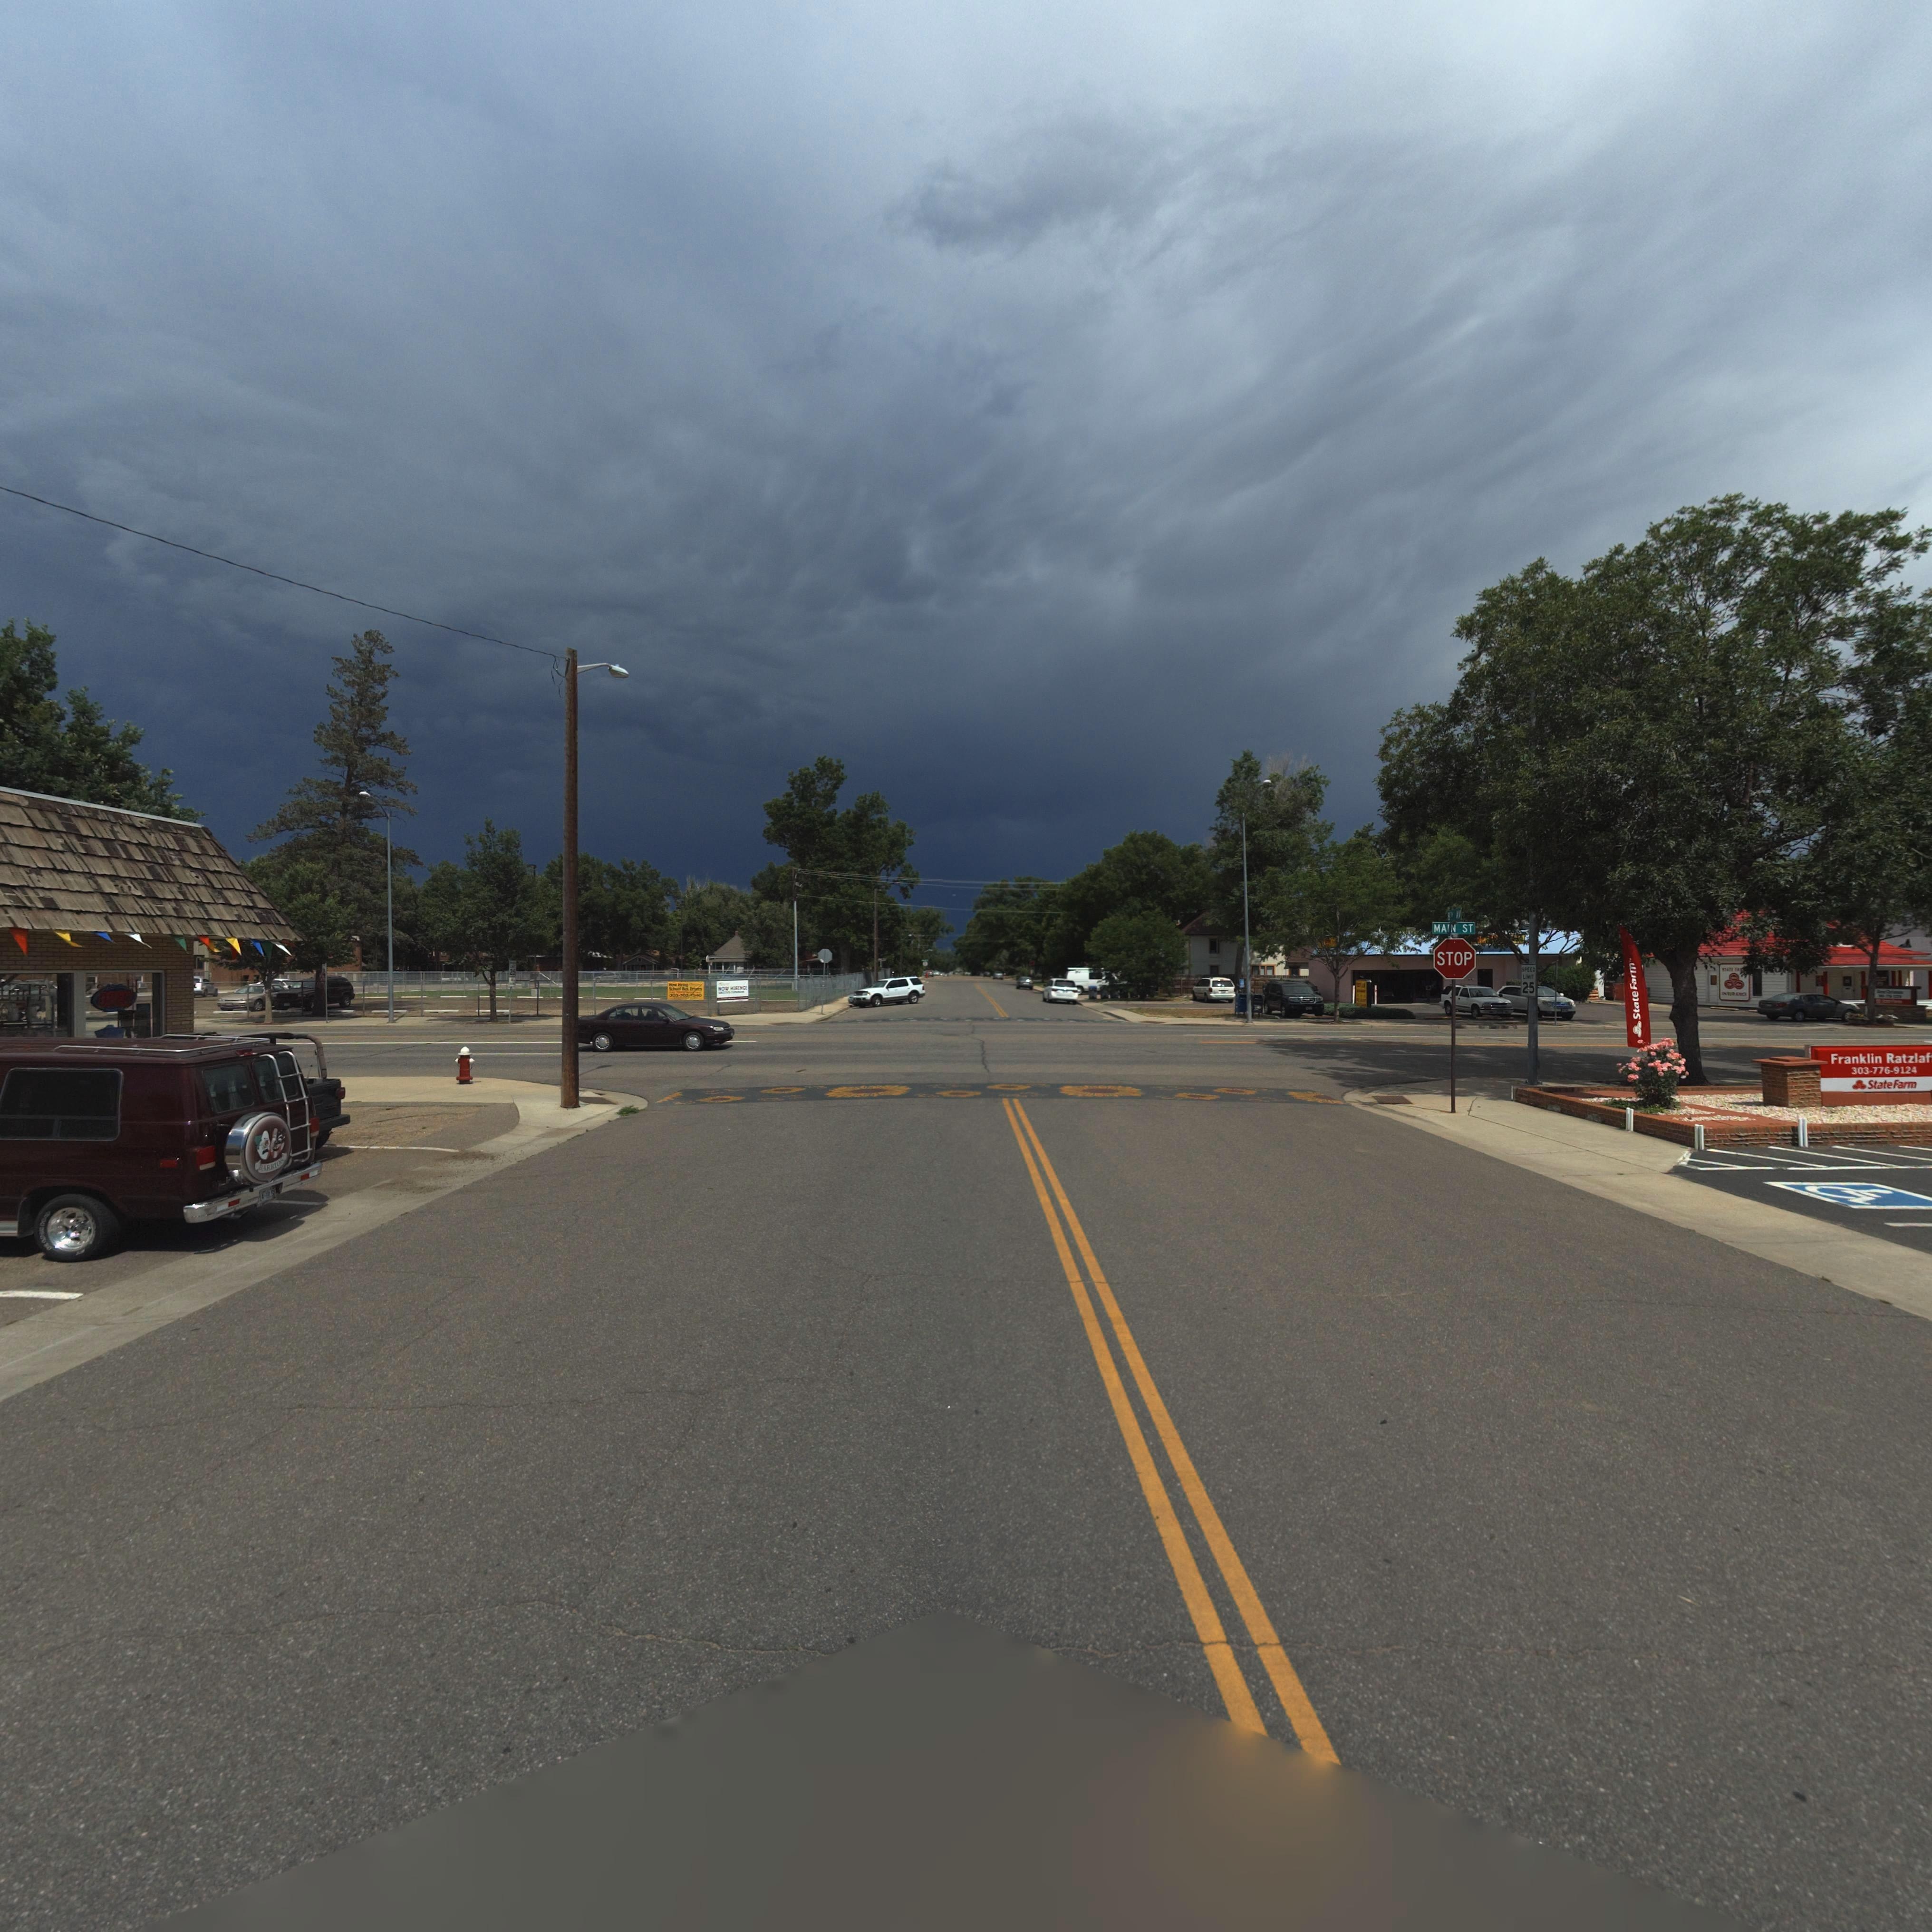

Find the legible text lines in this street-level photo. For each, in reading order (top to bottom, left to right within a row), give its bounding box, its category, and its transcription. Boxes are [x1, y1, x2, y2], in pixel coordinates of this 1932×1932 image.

[1447, 909, 1461, 921] StreetName: 8TH AV
[1433, 923, 1473, 933] StreetName: MAIN ST
[1721, 966, 1742, 972] BusinessName: STATE FA*
[1627, 961, 1642, 1020] BusinessName: State Farm
[1720, 991, 1747, 997] BusinessName: INSURANCE
[1881, 998, 1903, 1004] BusinessName: State Farm
[1867, 1079, 1917, 1089] BusinessName: State Farm